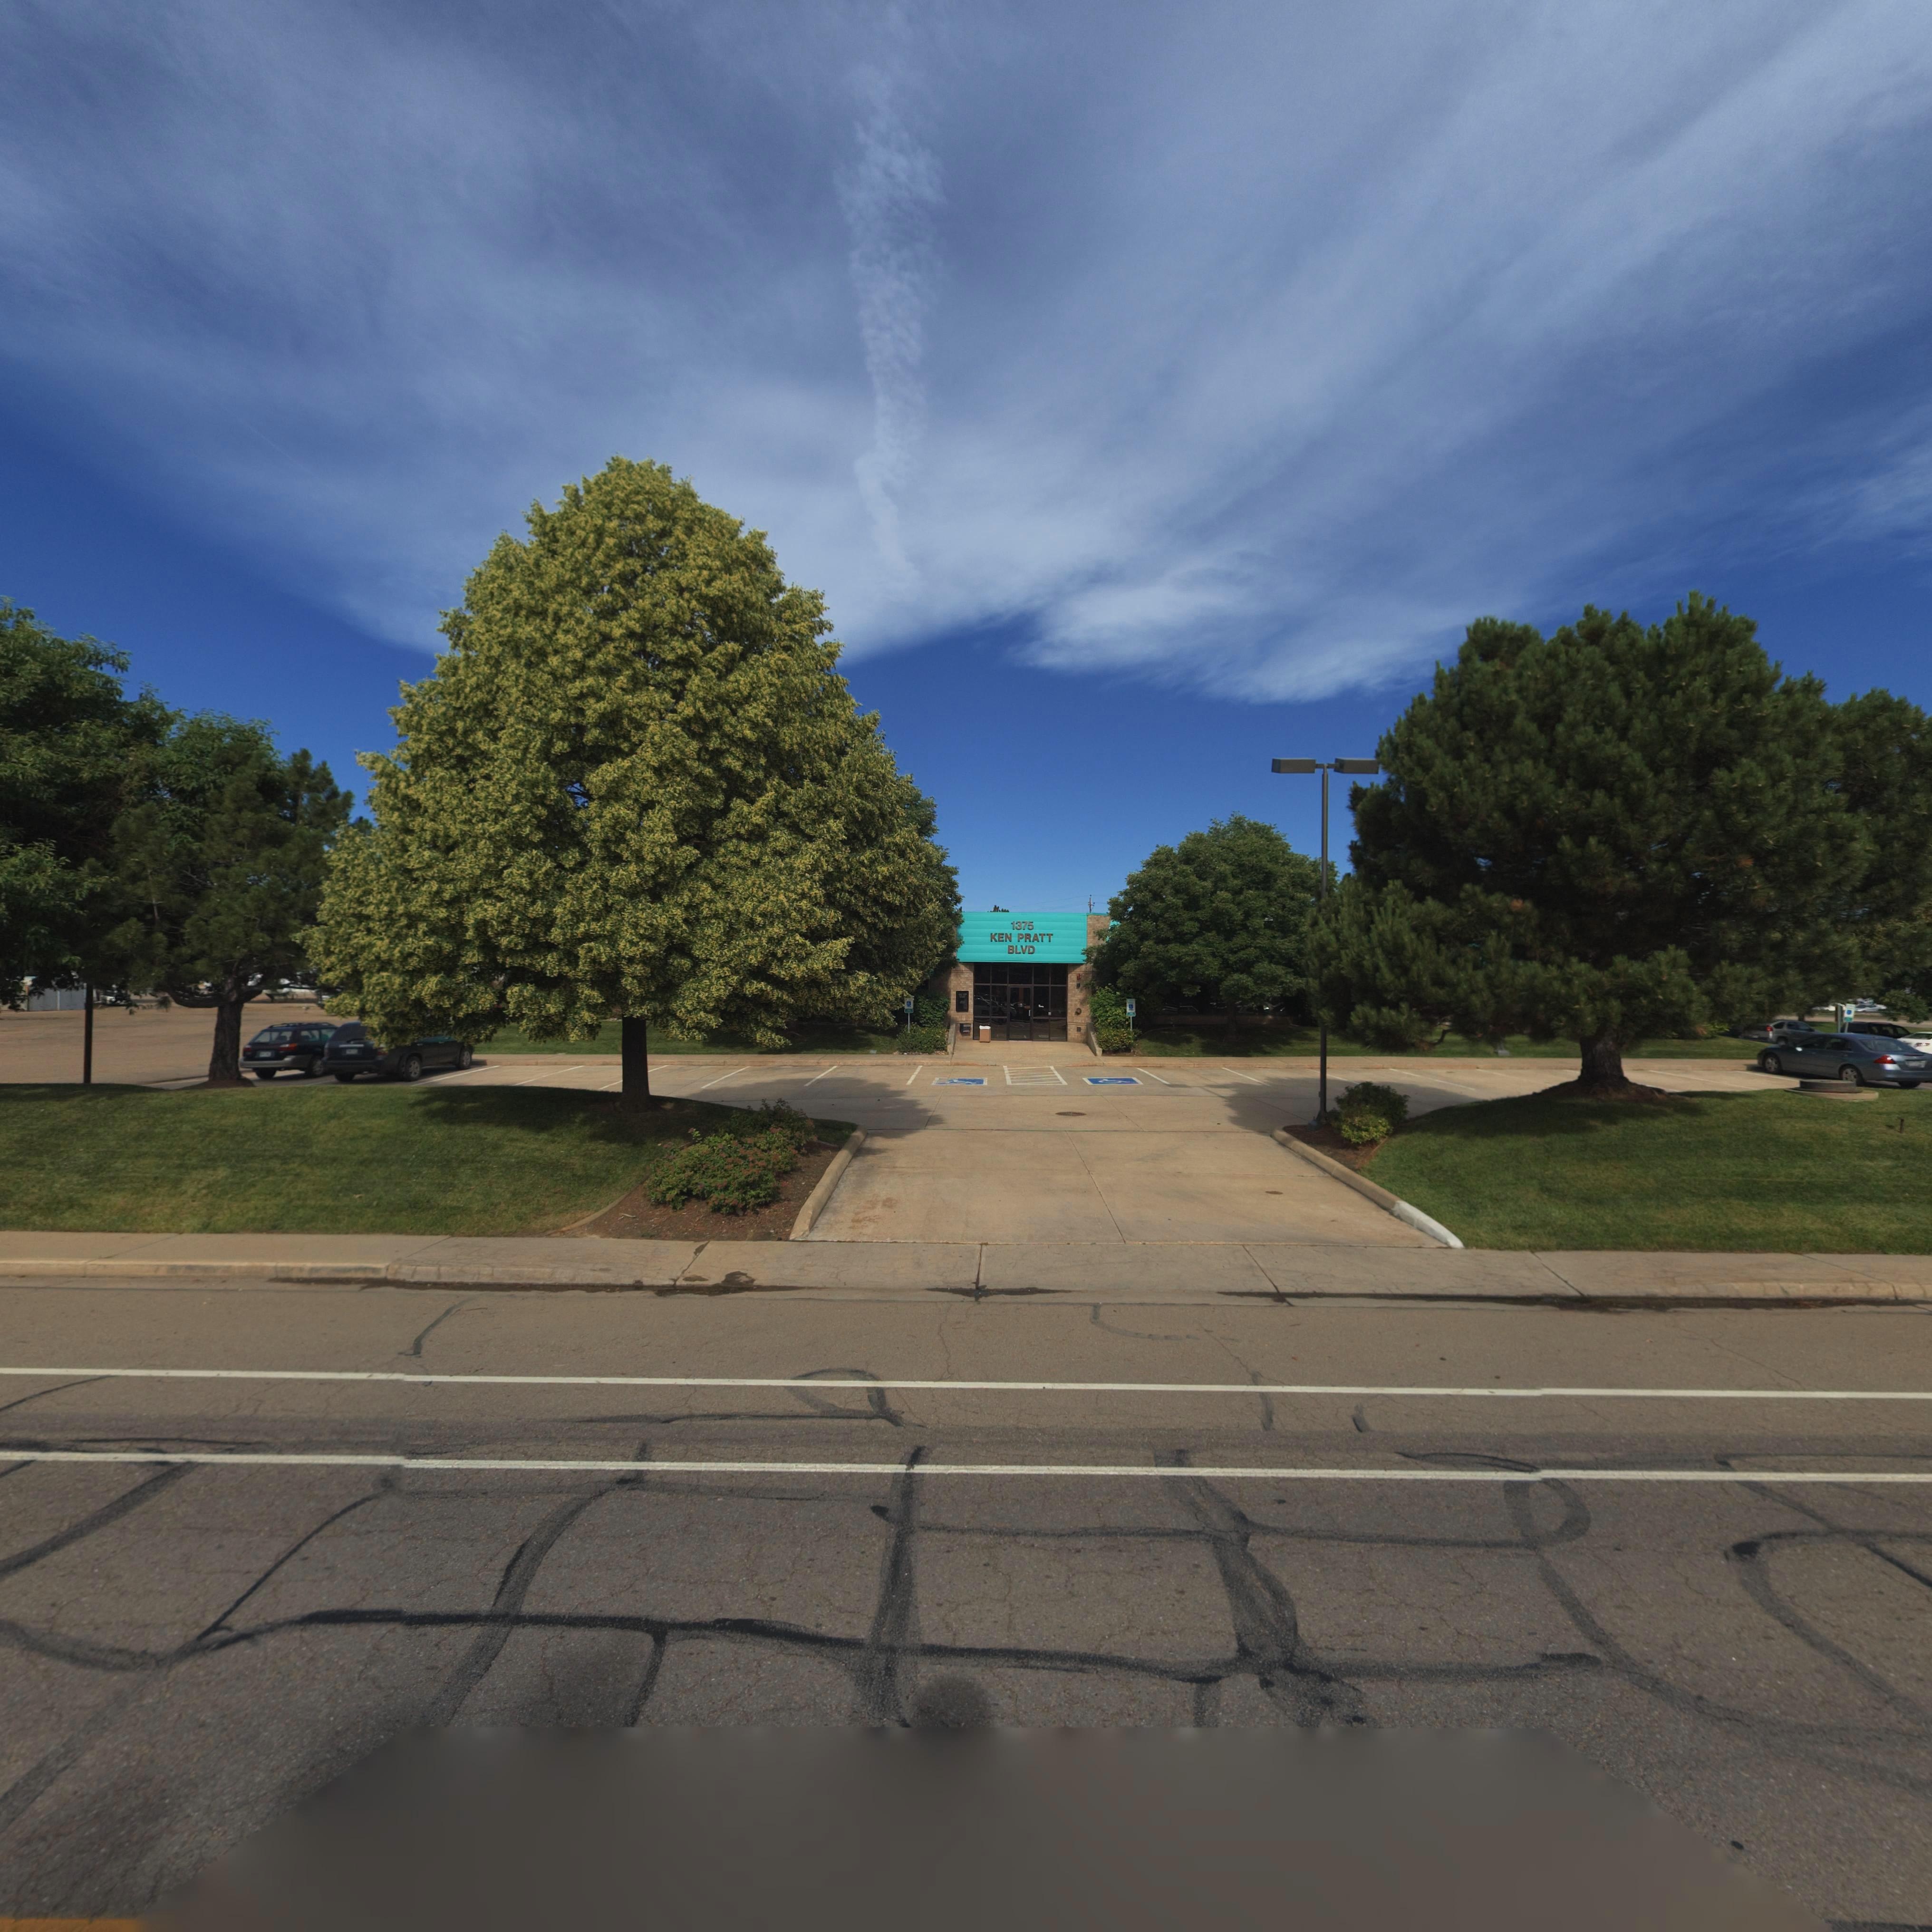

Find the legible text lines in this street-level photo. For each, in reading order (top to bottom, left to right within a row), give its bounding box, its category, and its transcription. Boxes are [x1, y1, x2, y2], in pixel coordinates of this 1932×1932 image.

[1010, 920, 1034, 930] StreetNumber: 1375
[990, 932, 1053, 942] StreetName: KEN PRATT
[1007, 945, 1035, 954] StreetName: BLVD